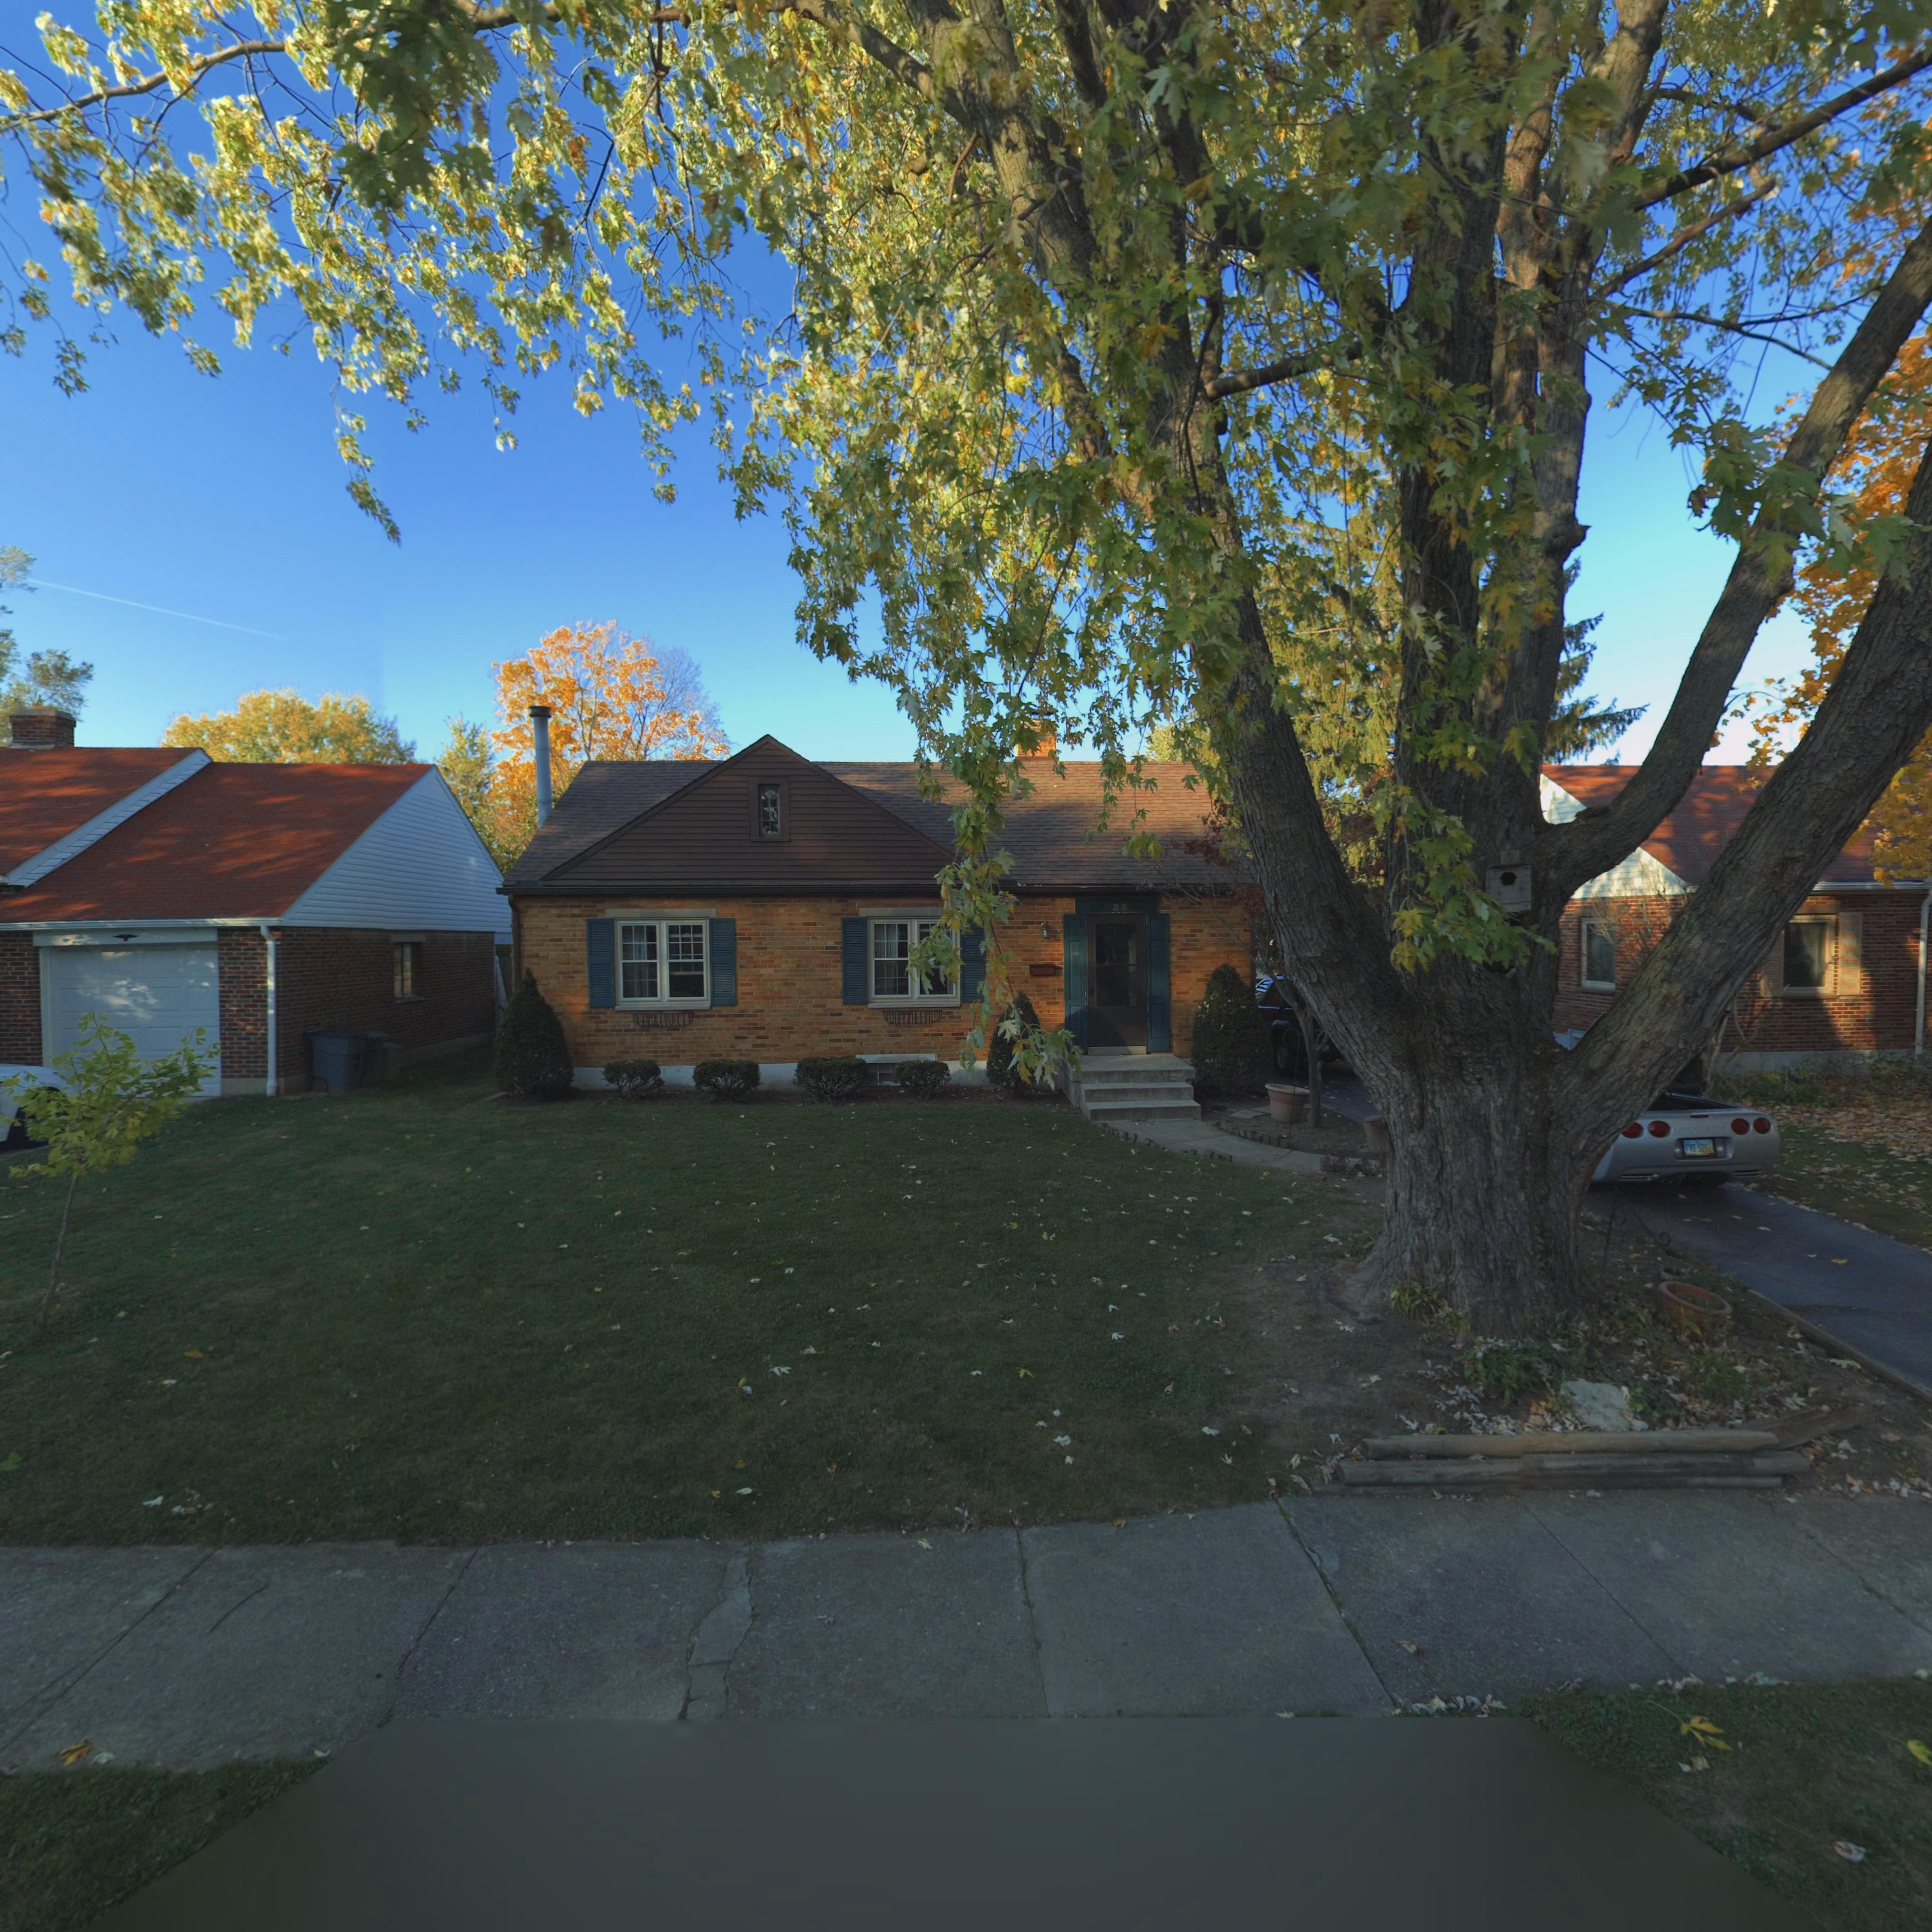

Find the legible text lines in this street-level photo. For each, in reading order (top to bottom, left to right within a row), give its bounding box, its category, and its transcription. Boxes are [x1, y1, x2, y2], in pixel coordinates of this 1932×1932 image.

[1112, 903, 1128, 912] StreetNumber: 33